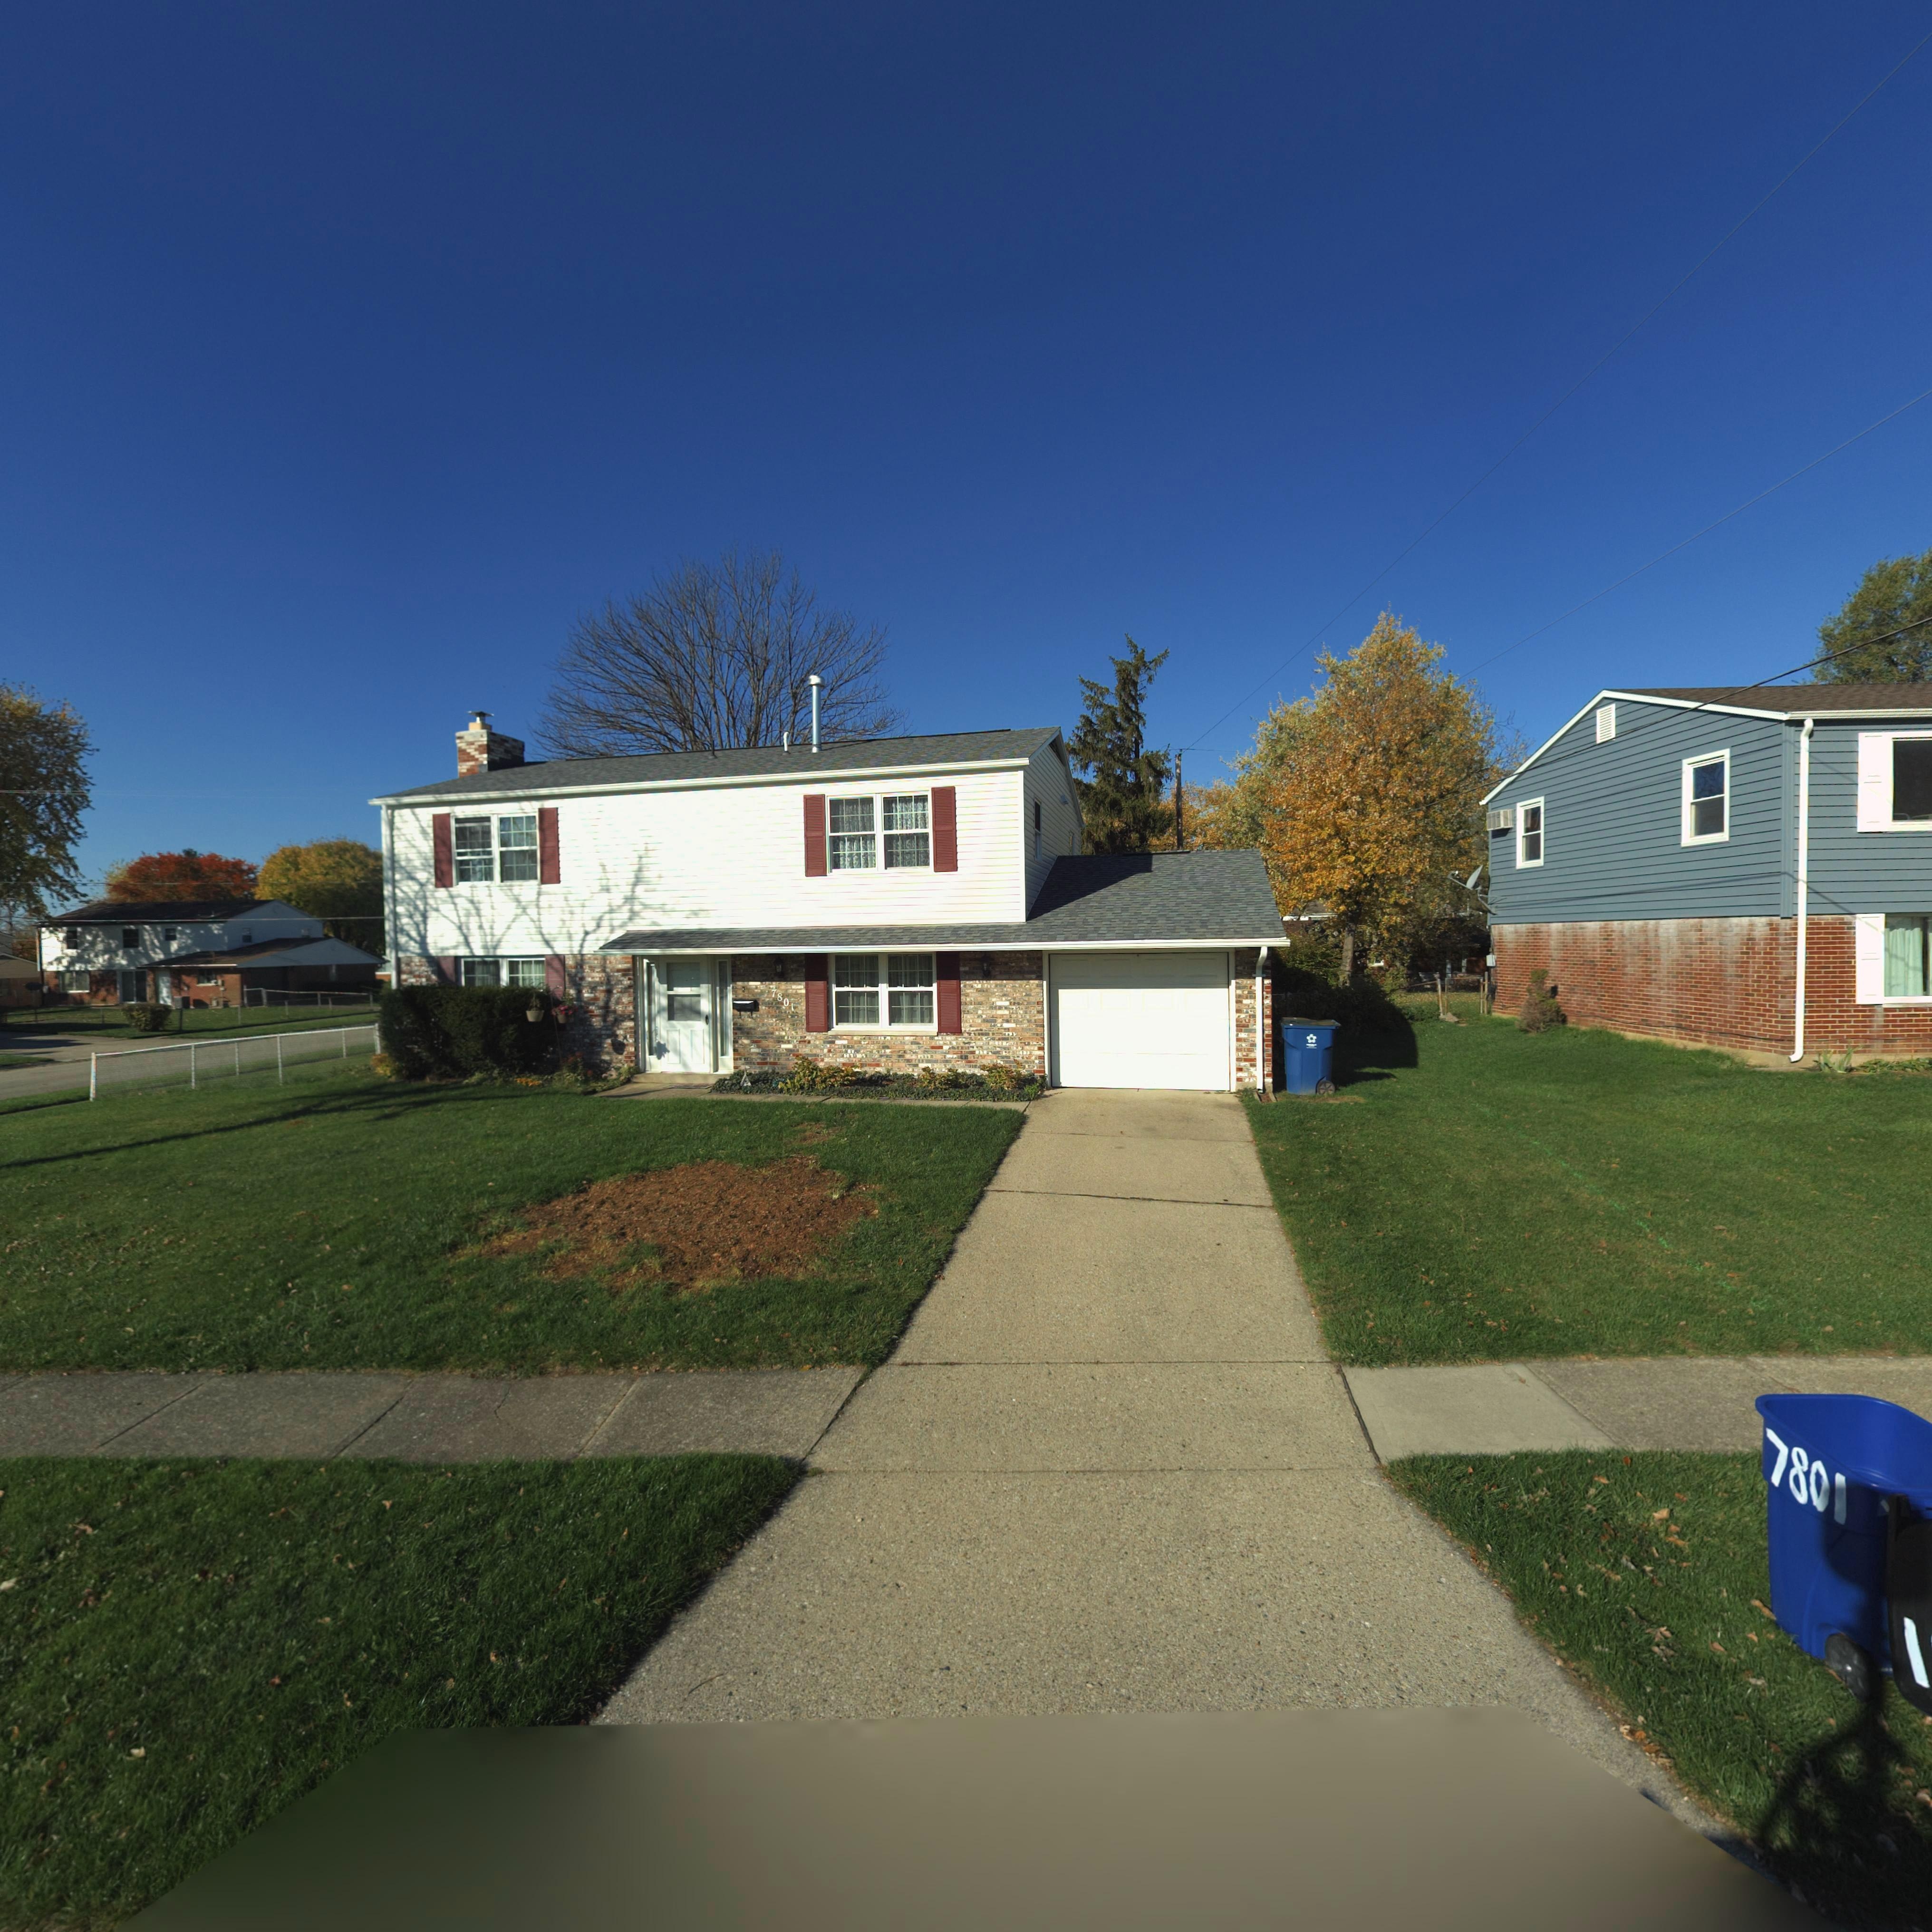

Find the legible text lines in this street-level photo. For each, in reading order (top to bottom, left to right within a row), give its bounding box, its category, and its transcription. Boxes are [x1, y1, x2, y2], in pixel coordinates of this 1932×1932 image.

[771, 988, 795, 1012] StreetNumber: 7801
[1765, 1426, 1848, 1527] StreetNumber: 7801